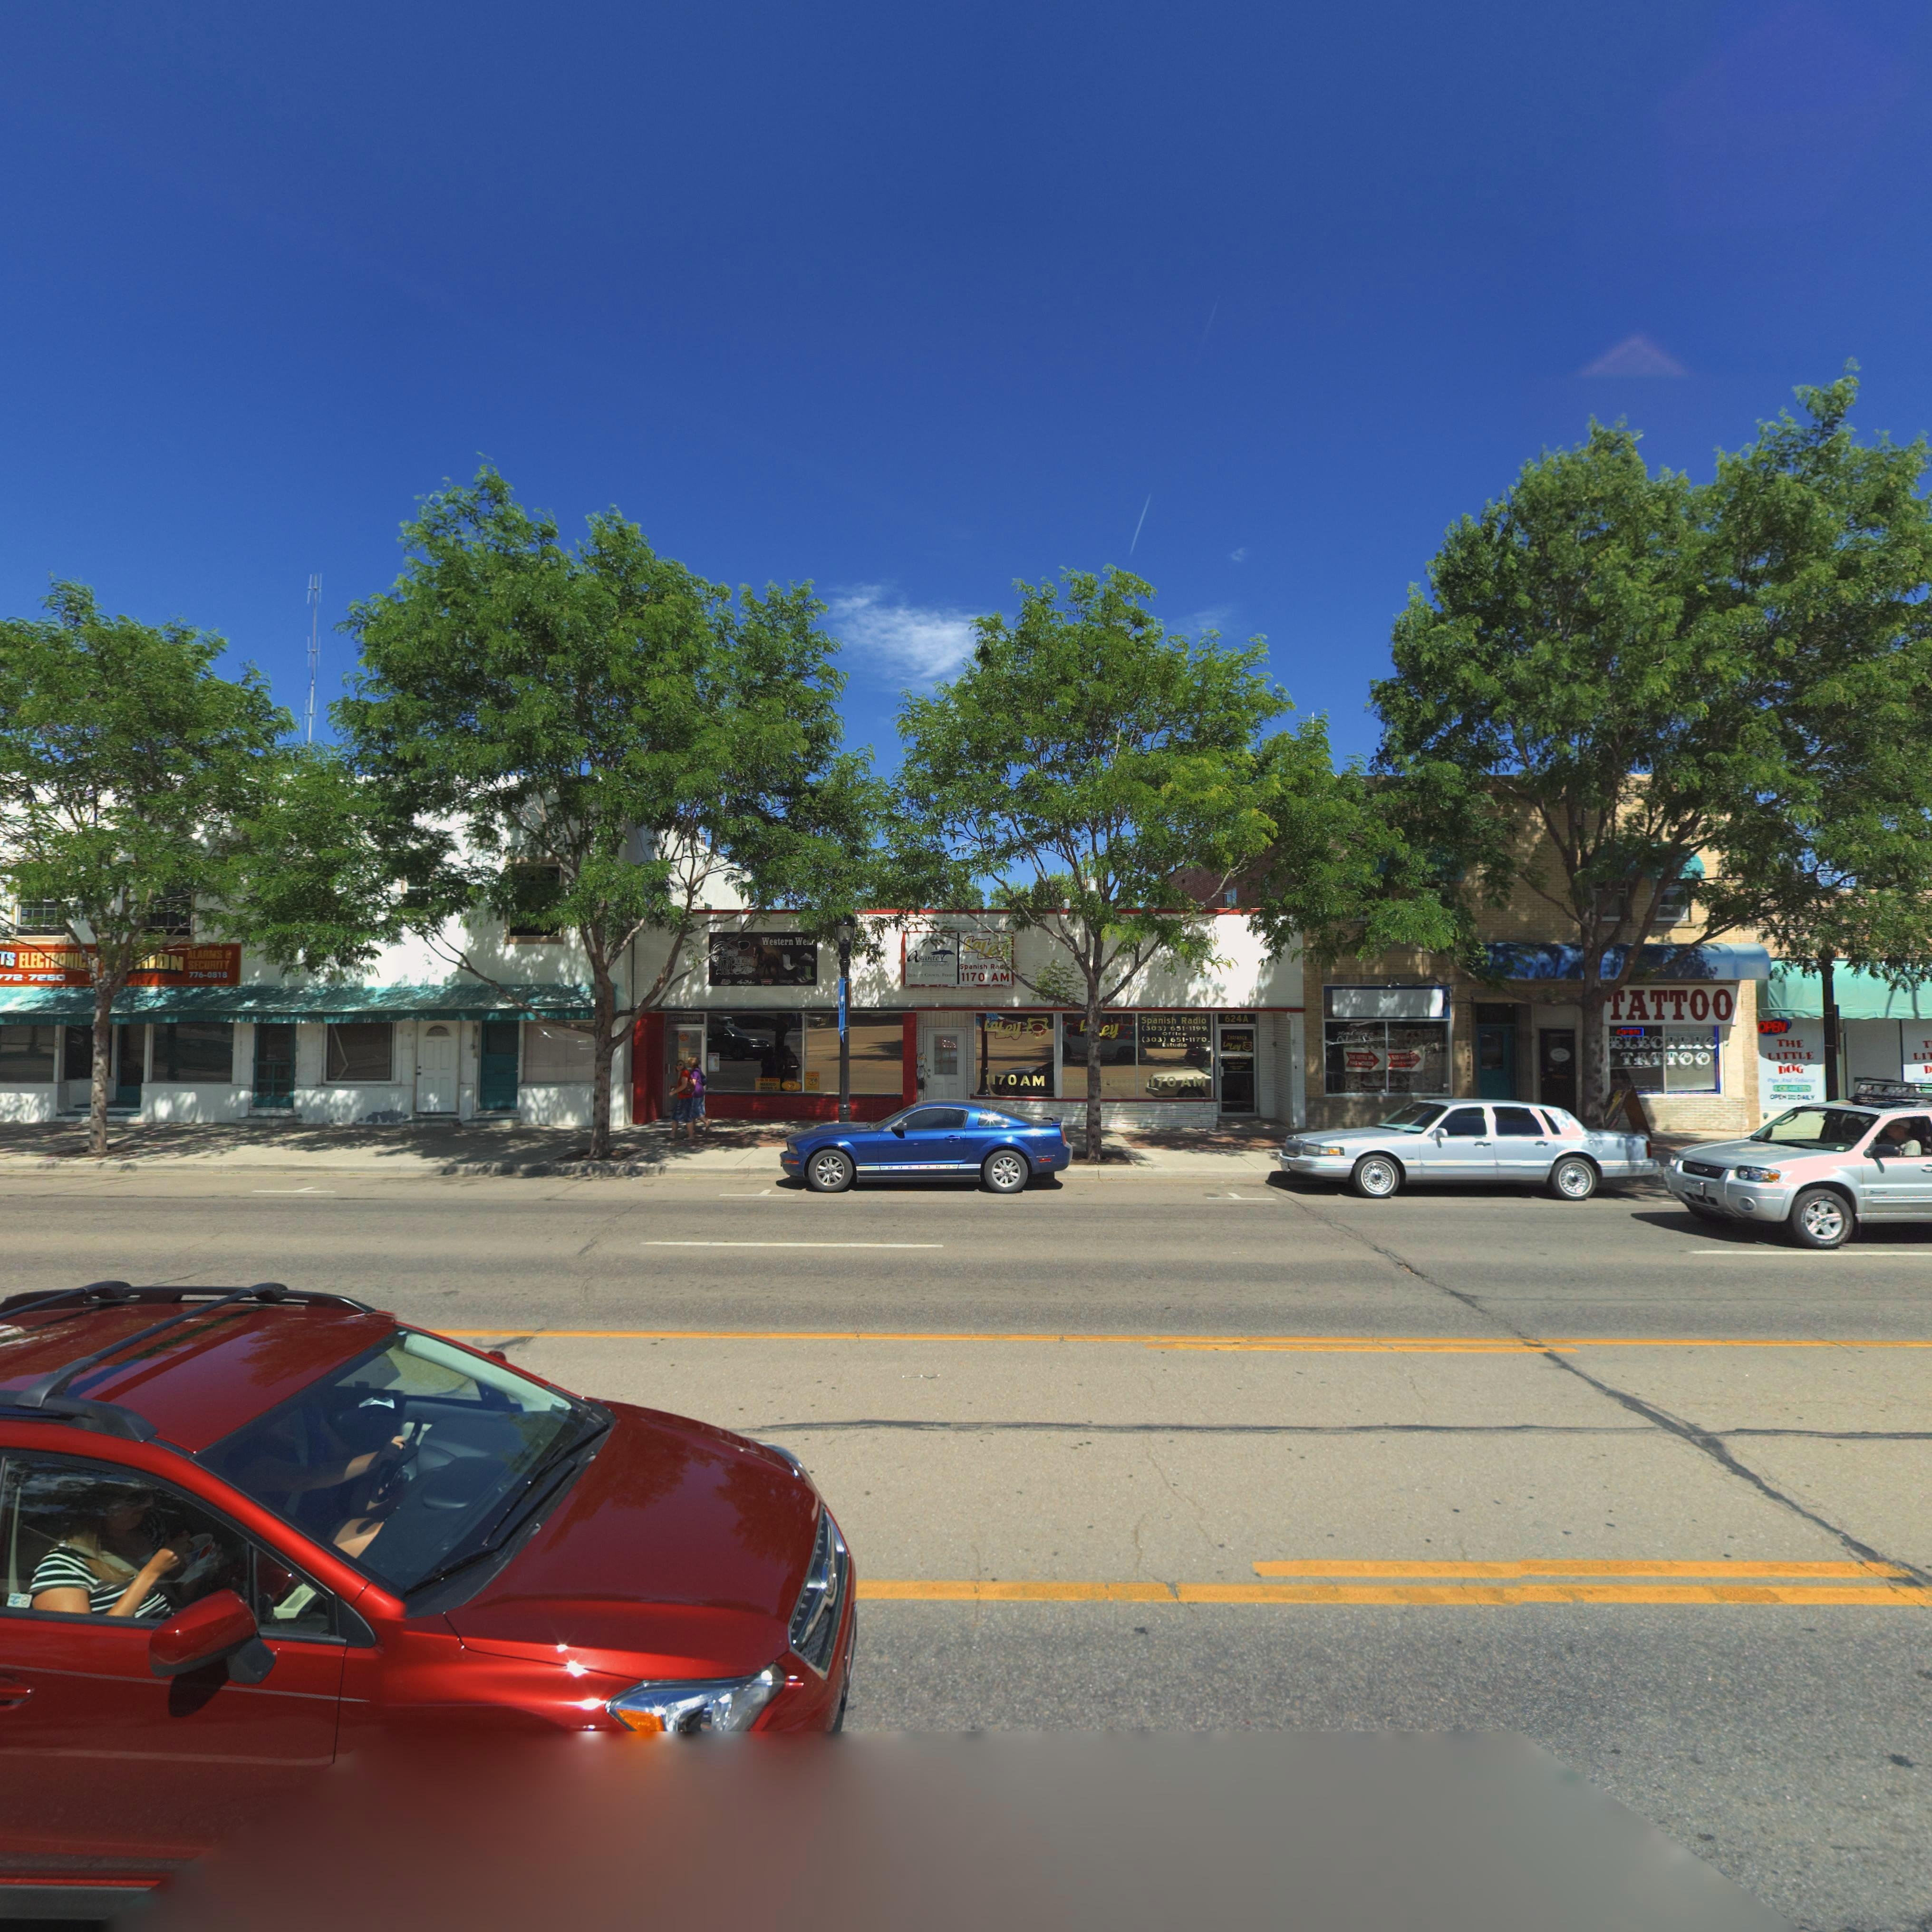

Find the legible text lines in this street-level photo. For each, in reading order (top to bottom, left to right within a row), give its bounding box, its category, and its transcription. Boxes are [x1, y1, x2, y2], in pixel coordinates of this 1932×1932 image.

[965, 938, 981, 950] BusinessName: *a
[5, 952, 95, 969] BusinessName: S ELEC***NI**
[112, 952, 184, 974] BusinessName: ***ON
[186, 950, 222, 959] BusinessName: ALARMS
[188, 960, 230, 969] BusinessName: SECURITY
[907, 950, 919, 962] BusinessName: a
[918, 955, 939, 961] BusinessName: sante
[921, 962, 949, 967] BusinessName: p***o**p*y
[959, 963, 1004, 971] BusinessName: Spanish Ra*
[961, 972, 1009, 982] BusinessName: 1170 AM
[1606, 988, 1733, 1021] BusinessName: *ATTOO
[670, 1015, 682, 1021] StreetNumber: *24
[683, 1015, 699, 1021] BusinessName: MAIN
[984, 1020, 998, 1032] BusinessName: L*
[997, 1020, 1021, 1037] BusinessName: Ley
[1079, 1019, 1087, 1032] BusinessName: L
[1101, 1024, 1118, 1038] BusinessName: ey
[1141, 1016, 1207, 1025] BusinessName: Spansih Radio
[1225, 1014, 1248, 1022] StreetNumber: 624A
[1223, 1041, 1230, 1047] BusinessName: La
[1229, 1043, 1241, 1051] BusinessName: Ley
[1610, 1035, 1718, 1049] BusinessName: ELEC*TRIC
[1776, 1039, 1804, 1048] BusinessName: THE
[1620, 1051, 1710, 1065] BusinessName: TAT*TOO
[1768, 1051, 1814, 1060] BusinessName: LITTLE
[1913, 1052, 1926, 1060] BusinessName: LI
[1777, 1064, 1803, 1074] BusinessName: DOG